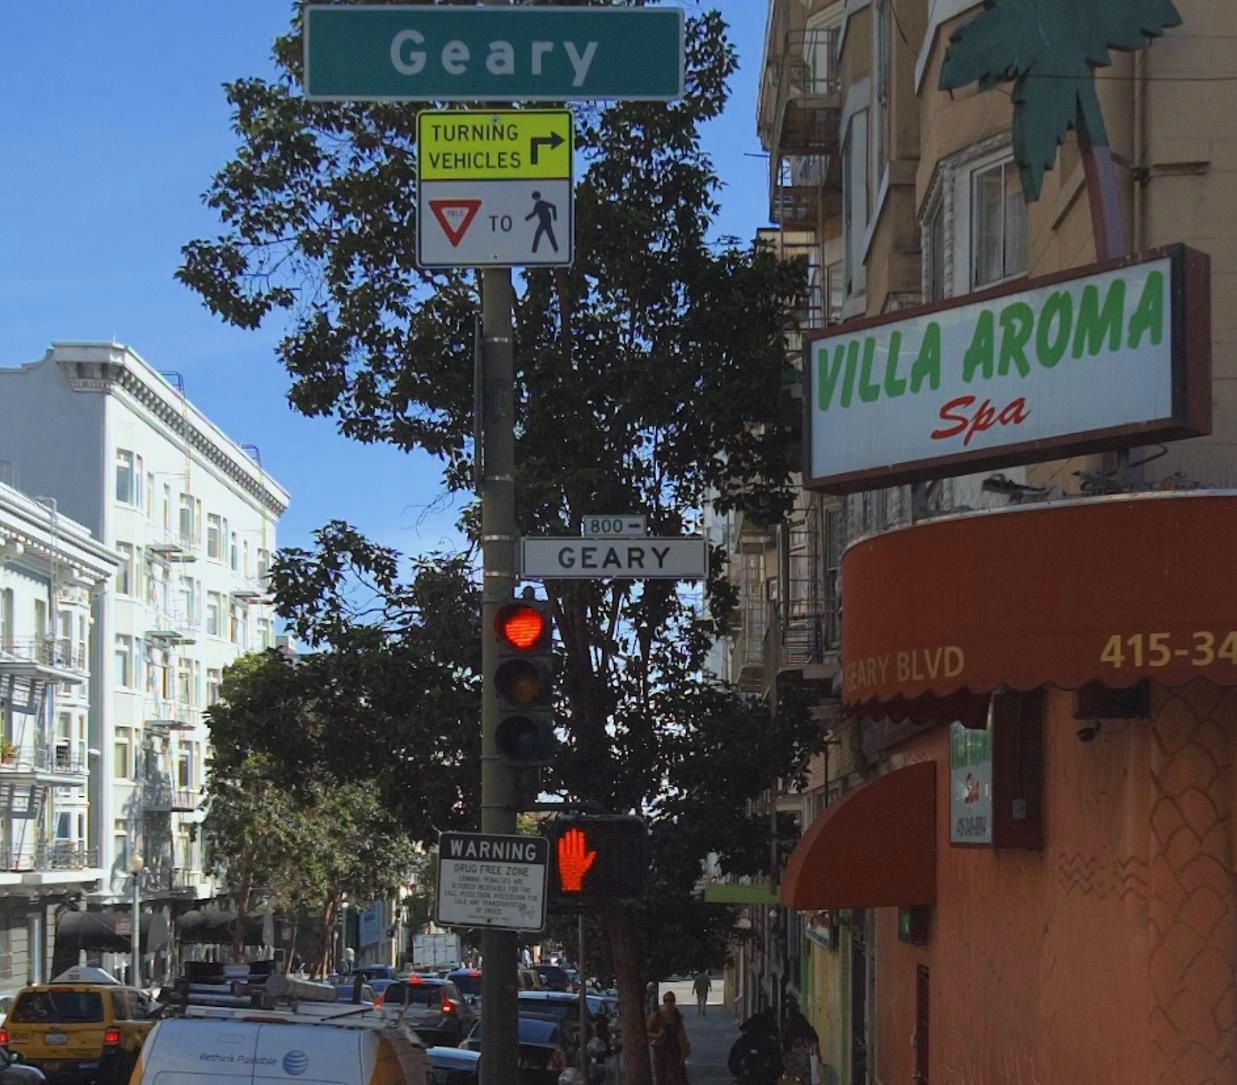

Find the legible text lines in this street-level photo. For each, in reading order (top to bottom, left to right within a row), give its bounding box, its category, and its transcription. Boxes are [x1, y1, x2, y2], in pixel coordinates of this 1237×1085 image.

[386, 24, 604, 90] StreetName: Geary
[427, 121, 522, 145] None: TURNING
[423, 149, 523, 173] None: VEHICLES
[484, 211, 516, 236] None: TO
[813, 263, 1168, 418] BusinessName: VILLA AROMA
[927, 390, 1036, 451] BusinessName: Spa
[589, 517, 643, 535] StreetNumberRange: 800->
[556, 544, 673, 571] StreetName: GEARY
[1096, 627, 1218, 673] None: 415-3
[854, 639, 970, 692] StreetName: ARY BLVD
[448, 837, 539, 864] None: WARNING
[451, 860, 532, 879] None: DRUG FREE ZONE
[234, 1053, 247, 1065] None: P